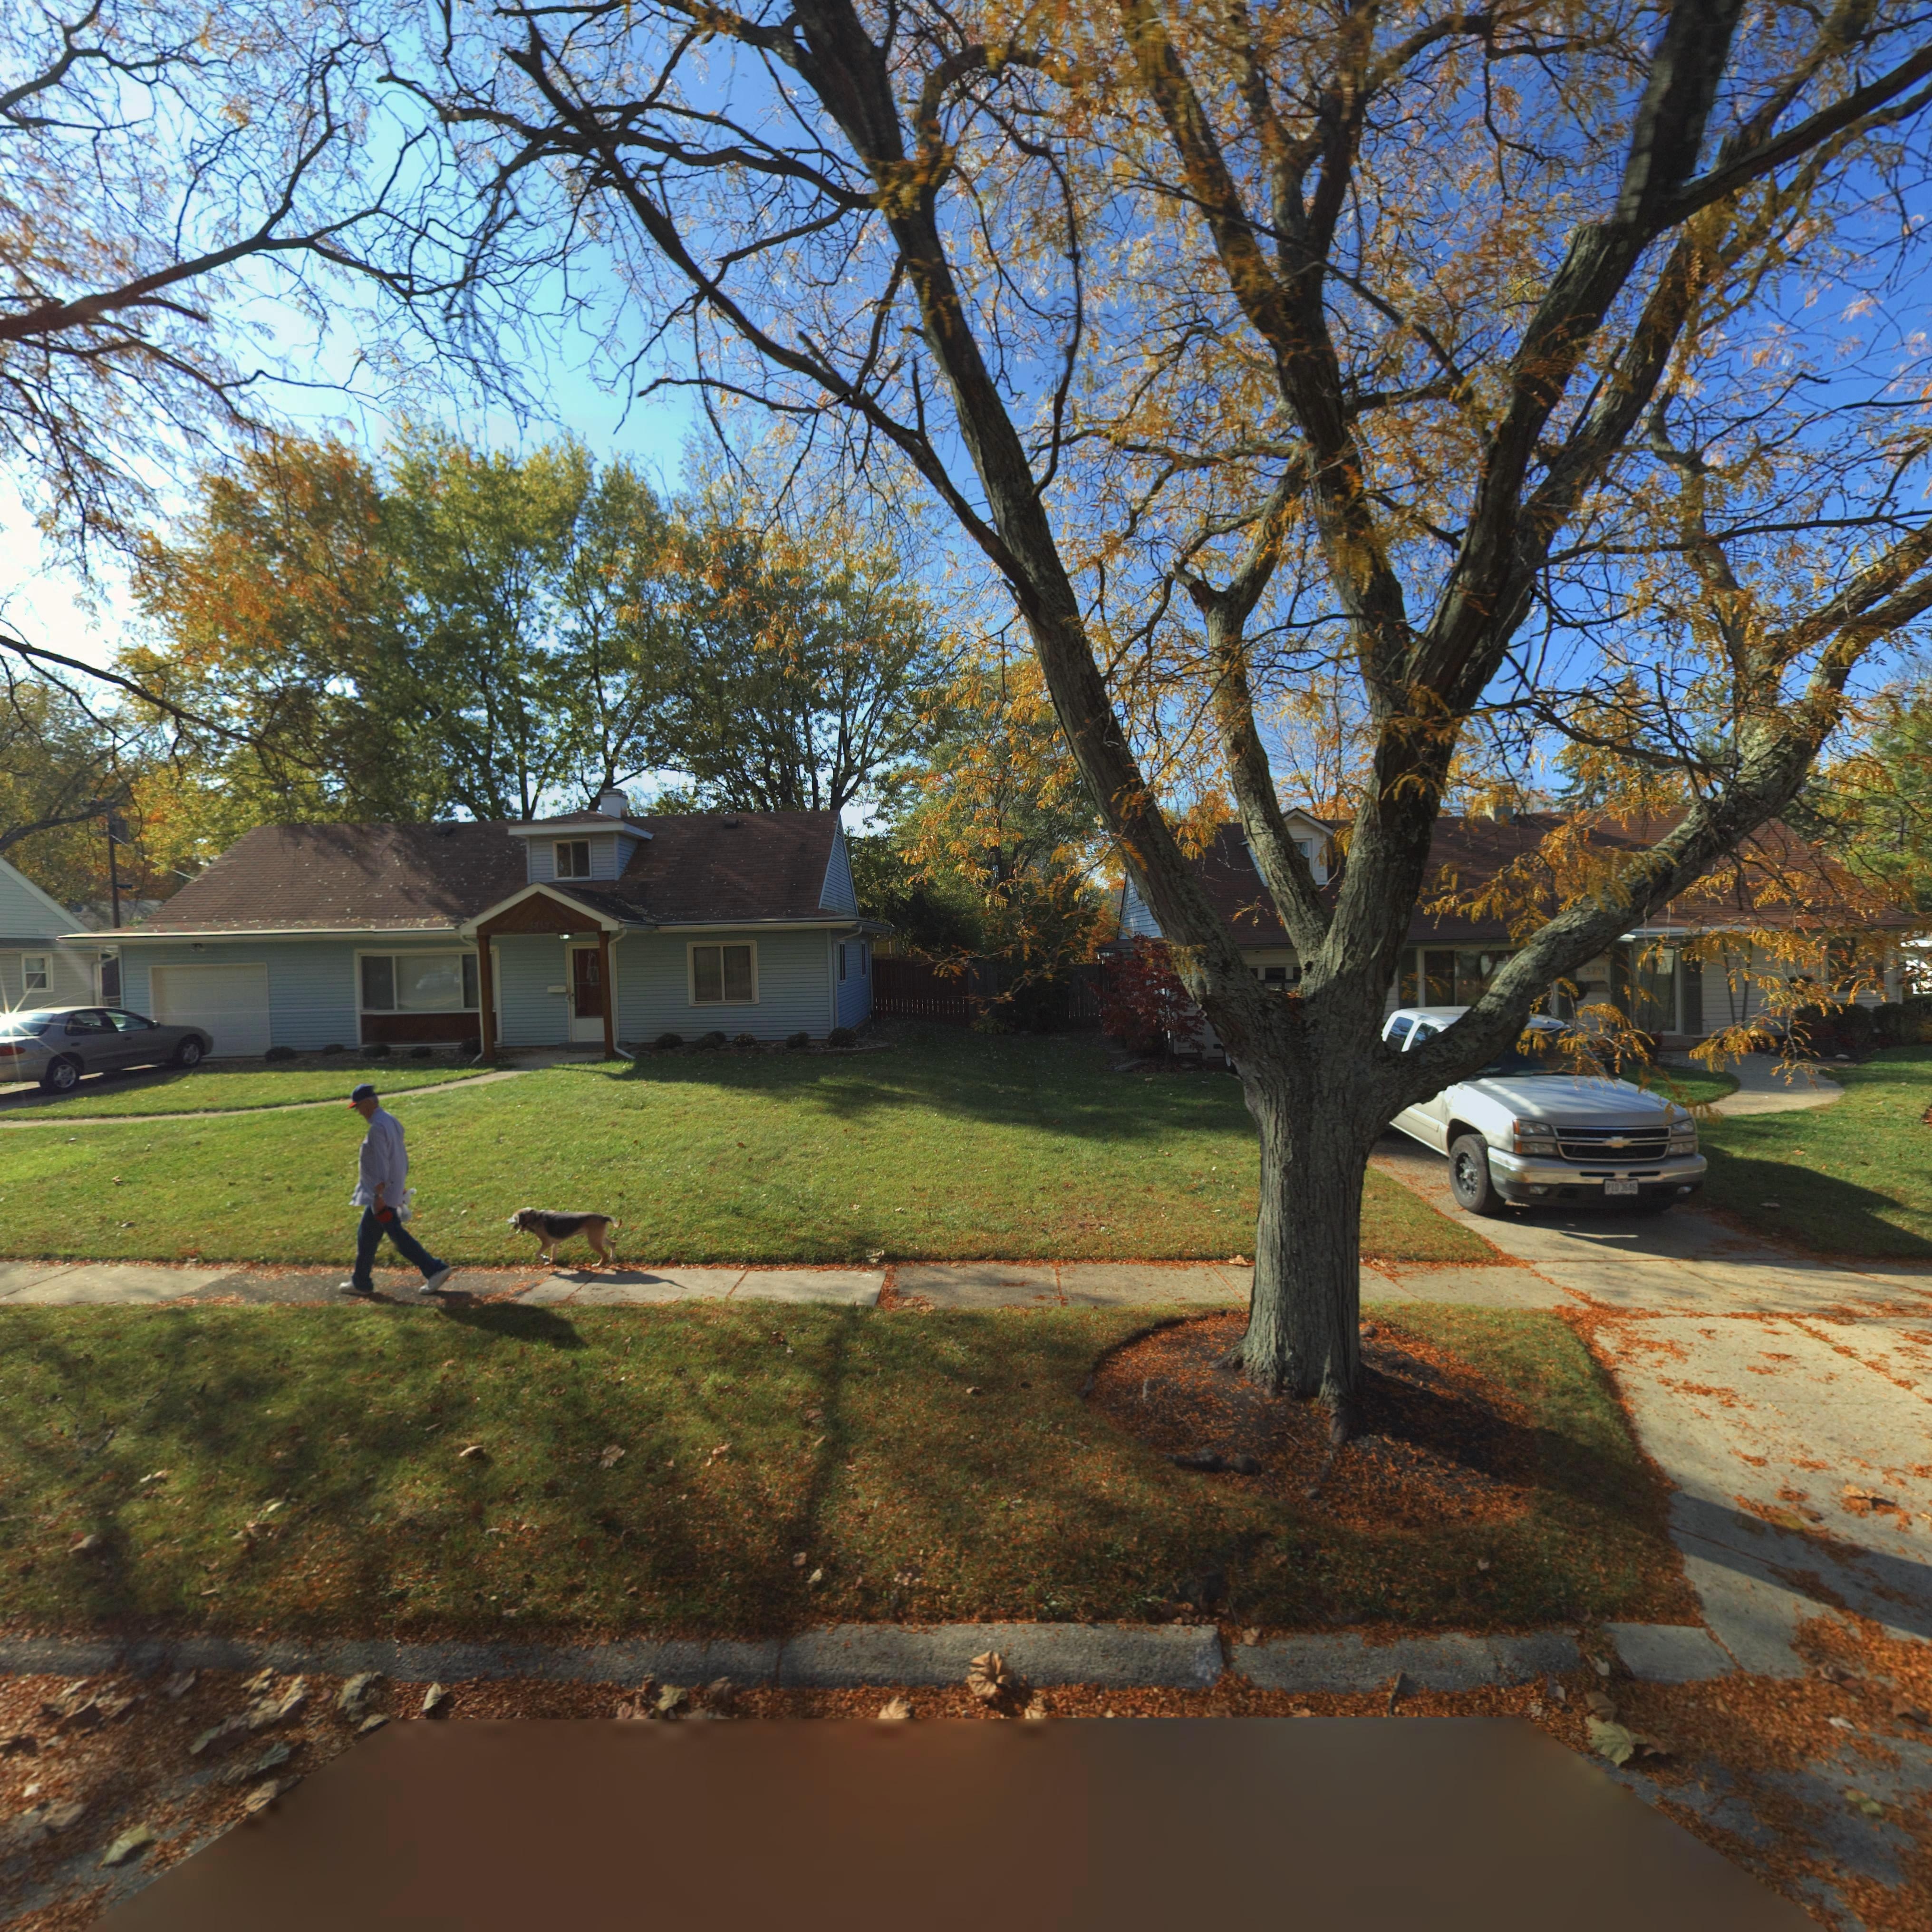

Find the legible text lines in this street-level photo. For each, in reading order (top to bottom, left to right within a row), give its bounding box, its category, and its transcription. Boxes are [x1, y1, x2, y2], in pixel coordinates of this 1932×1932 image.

[527, 921, 552, 931] StreetNumber: 3*17
[1584, 966, 1606, 976] StreetNumber: 37*1
[1606, 1183, 1637, 1192] None: P*O*3646